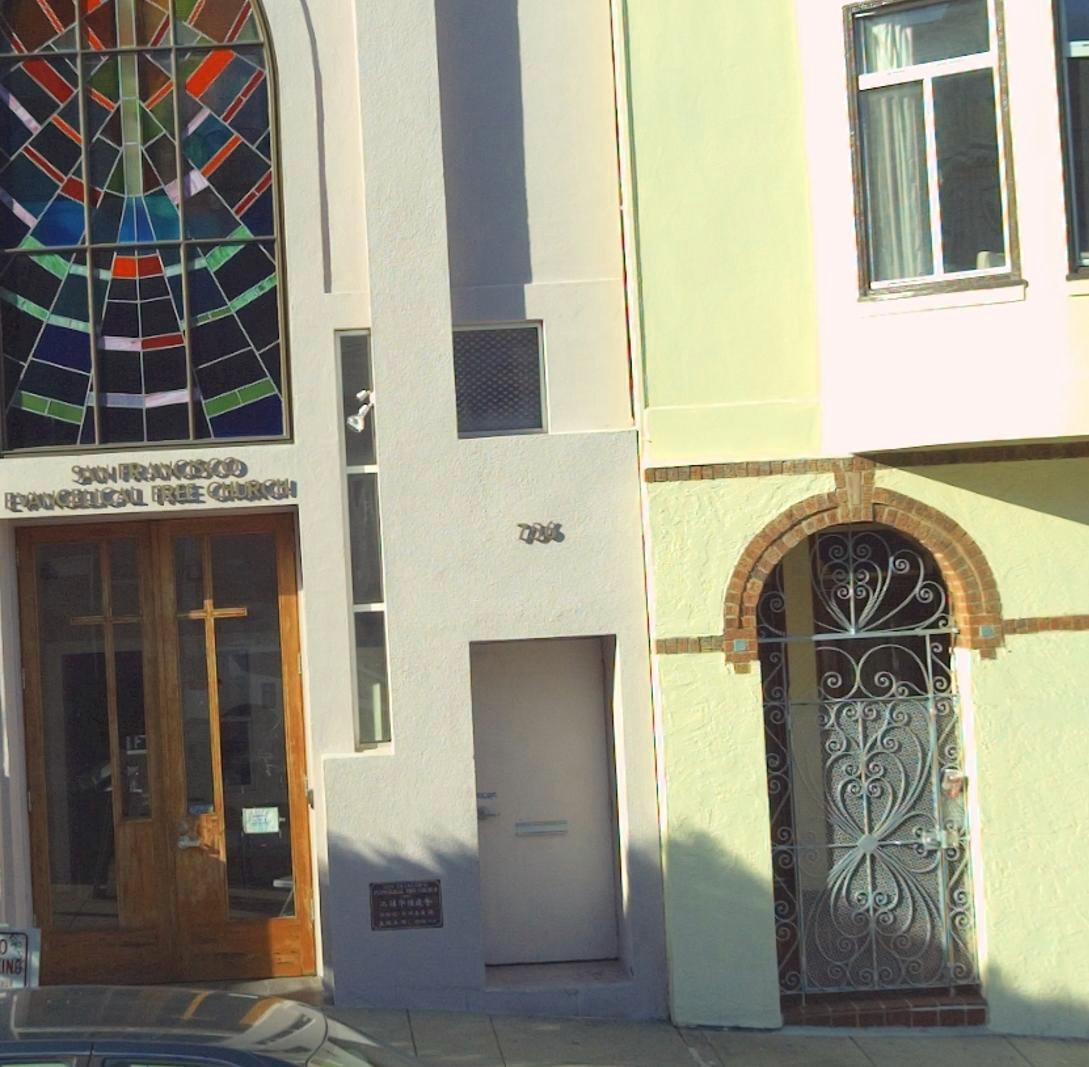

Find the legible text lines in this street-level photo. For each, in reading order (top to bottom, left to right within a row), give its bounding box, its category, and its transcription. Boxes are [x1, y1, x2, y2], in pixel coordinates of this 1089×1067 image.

[68, 454, 242, 485] BusinessName: SAN FRANCISCO
[3, 476, 292, 513] BusinessName: EVANGELICAL FREE CHURCH
[516, 520, 558, 540] StreetNumber: 756
[0, 957, 23, 976] None: ING